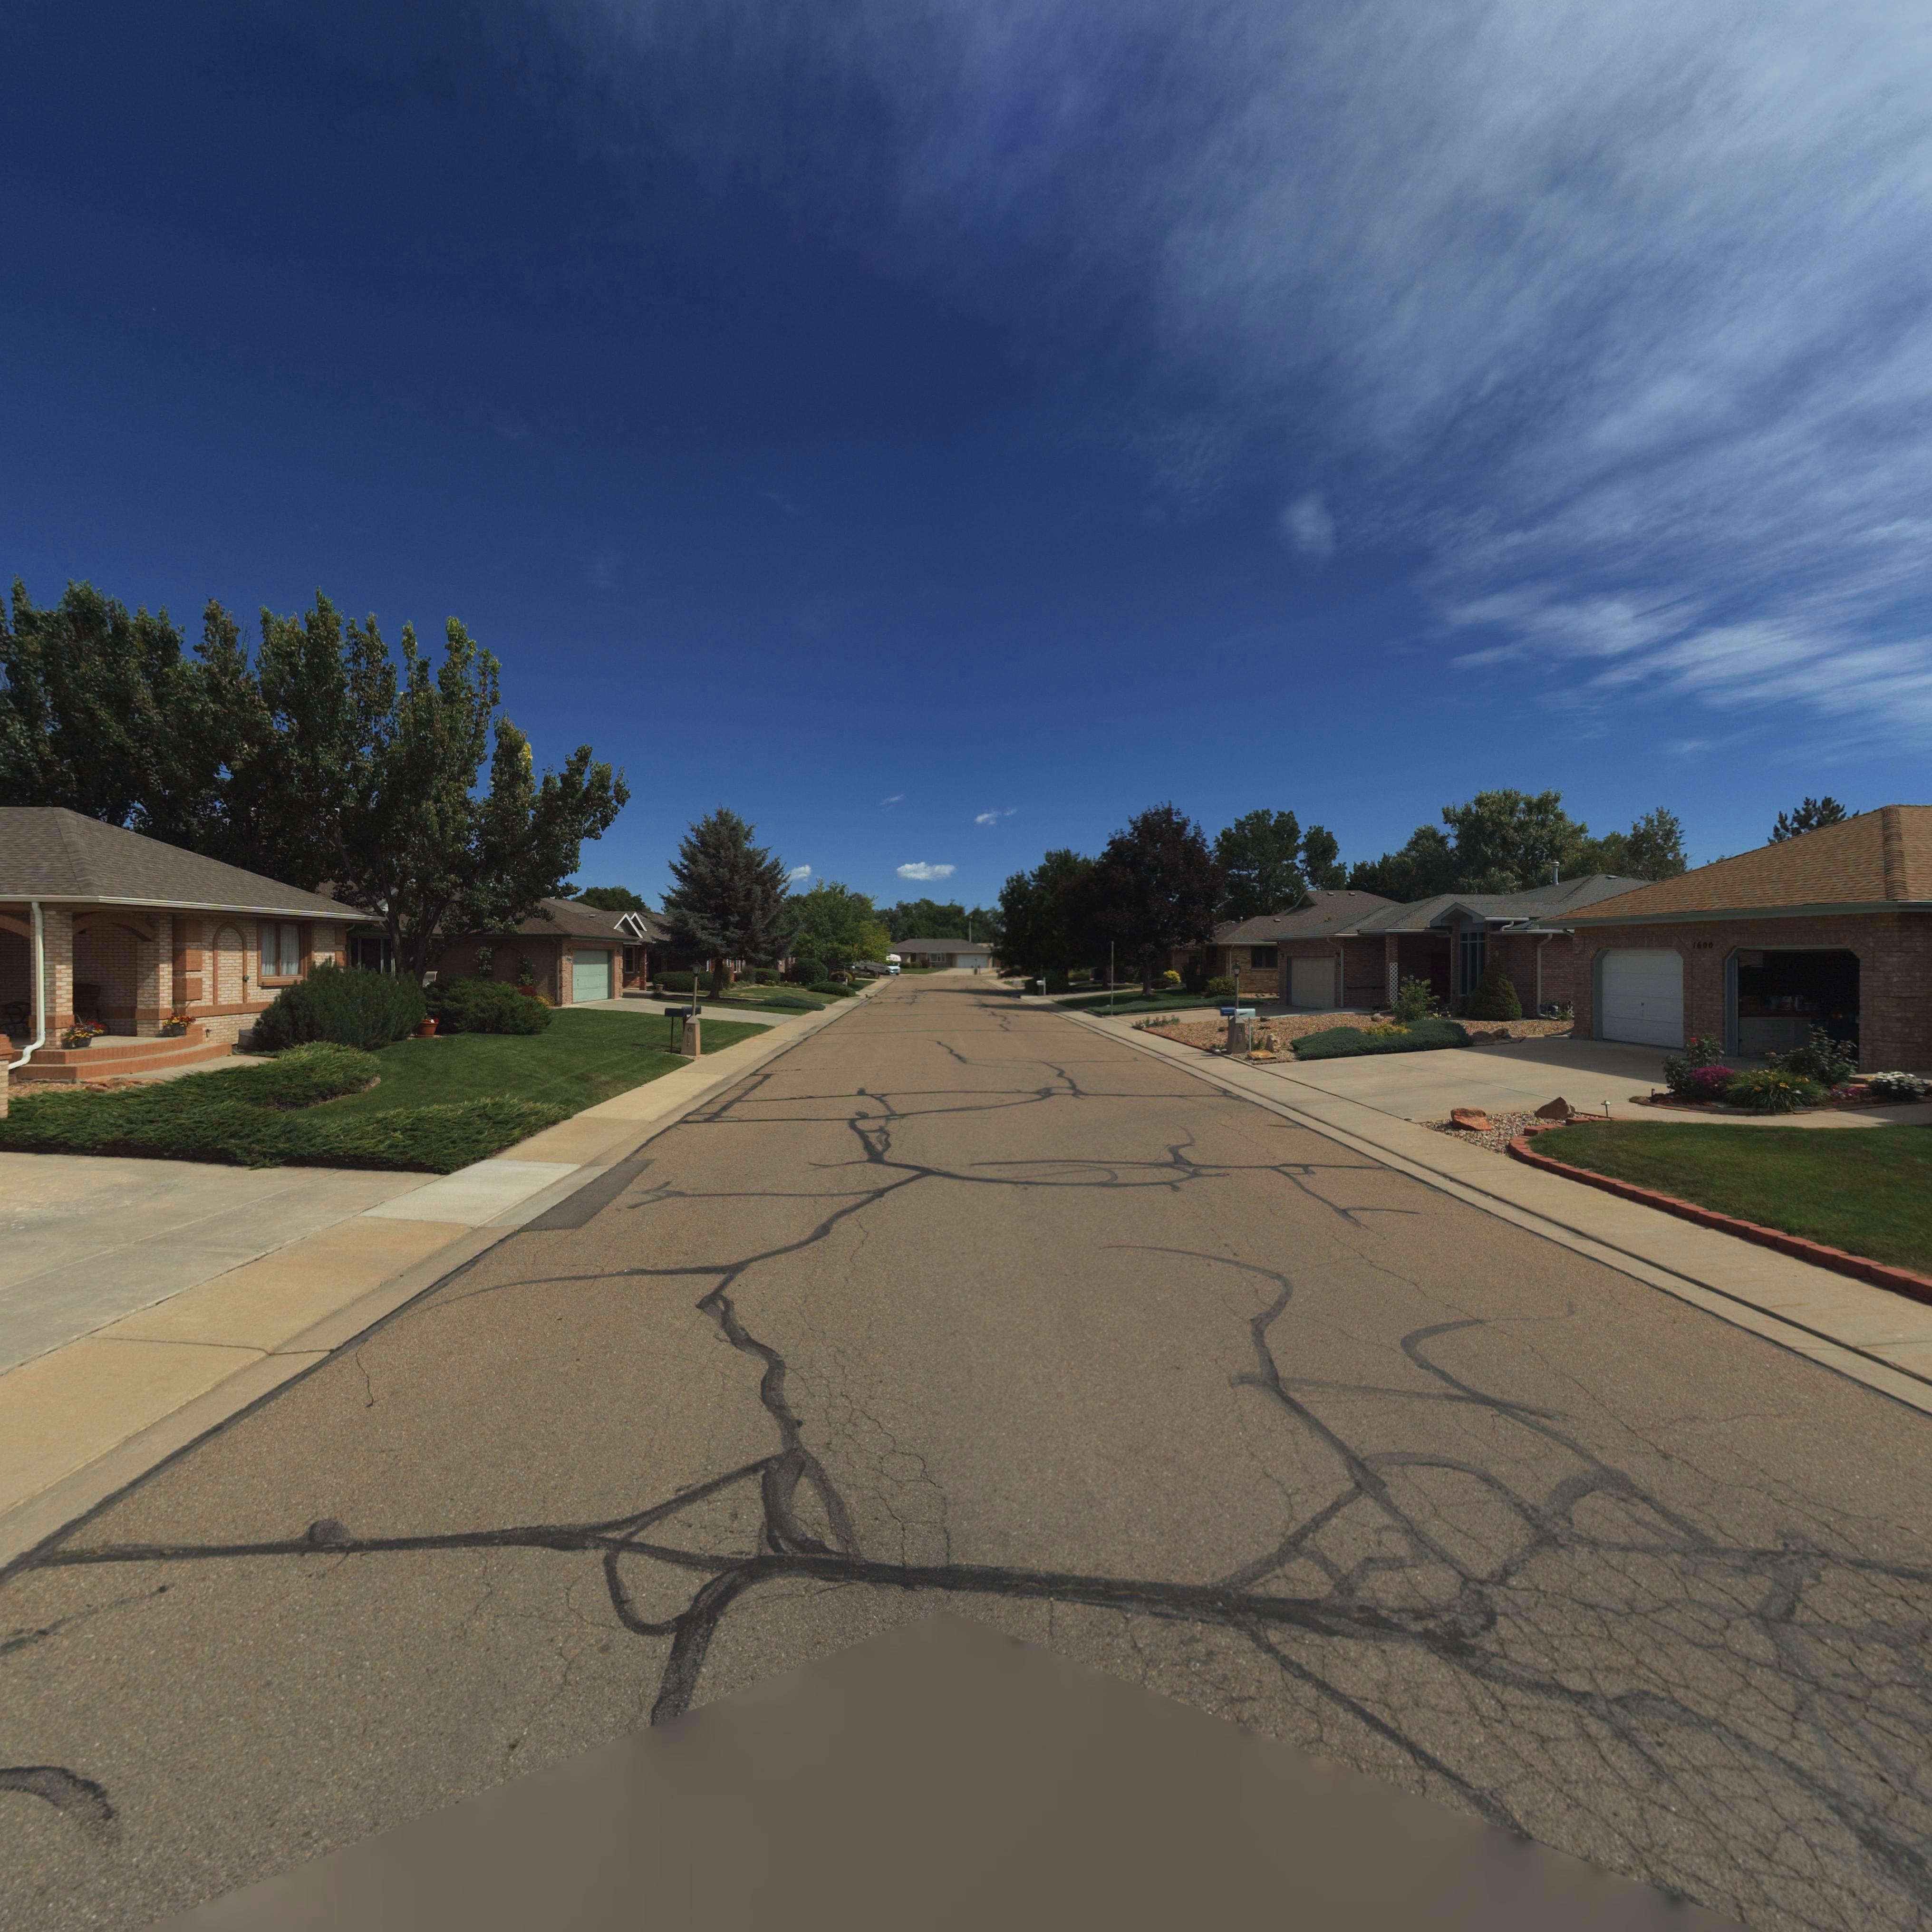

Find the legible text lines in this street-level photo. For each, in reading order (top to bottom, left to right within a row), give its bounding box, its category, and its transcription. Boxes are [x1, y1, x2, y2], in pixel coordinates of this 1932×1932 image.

[1692, 940, 1713, 948] StreetNumber: 1600